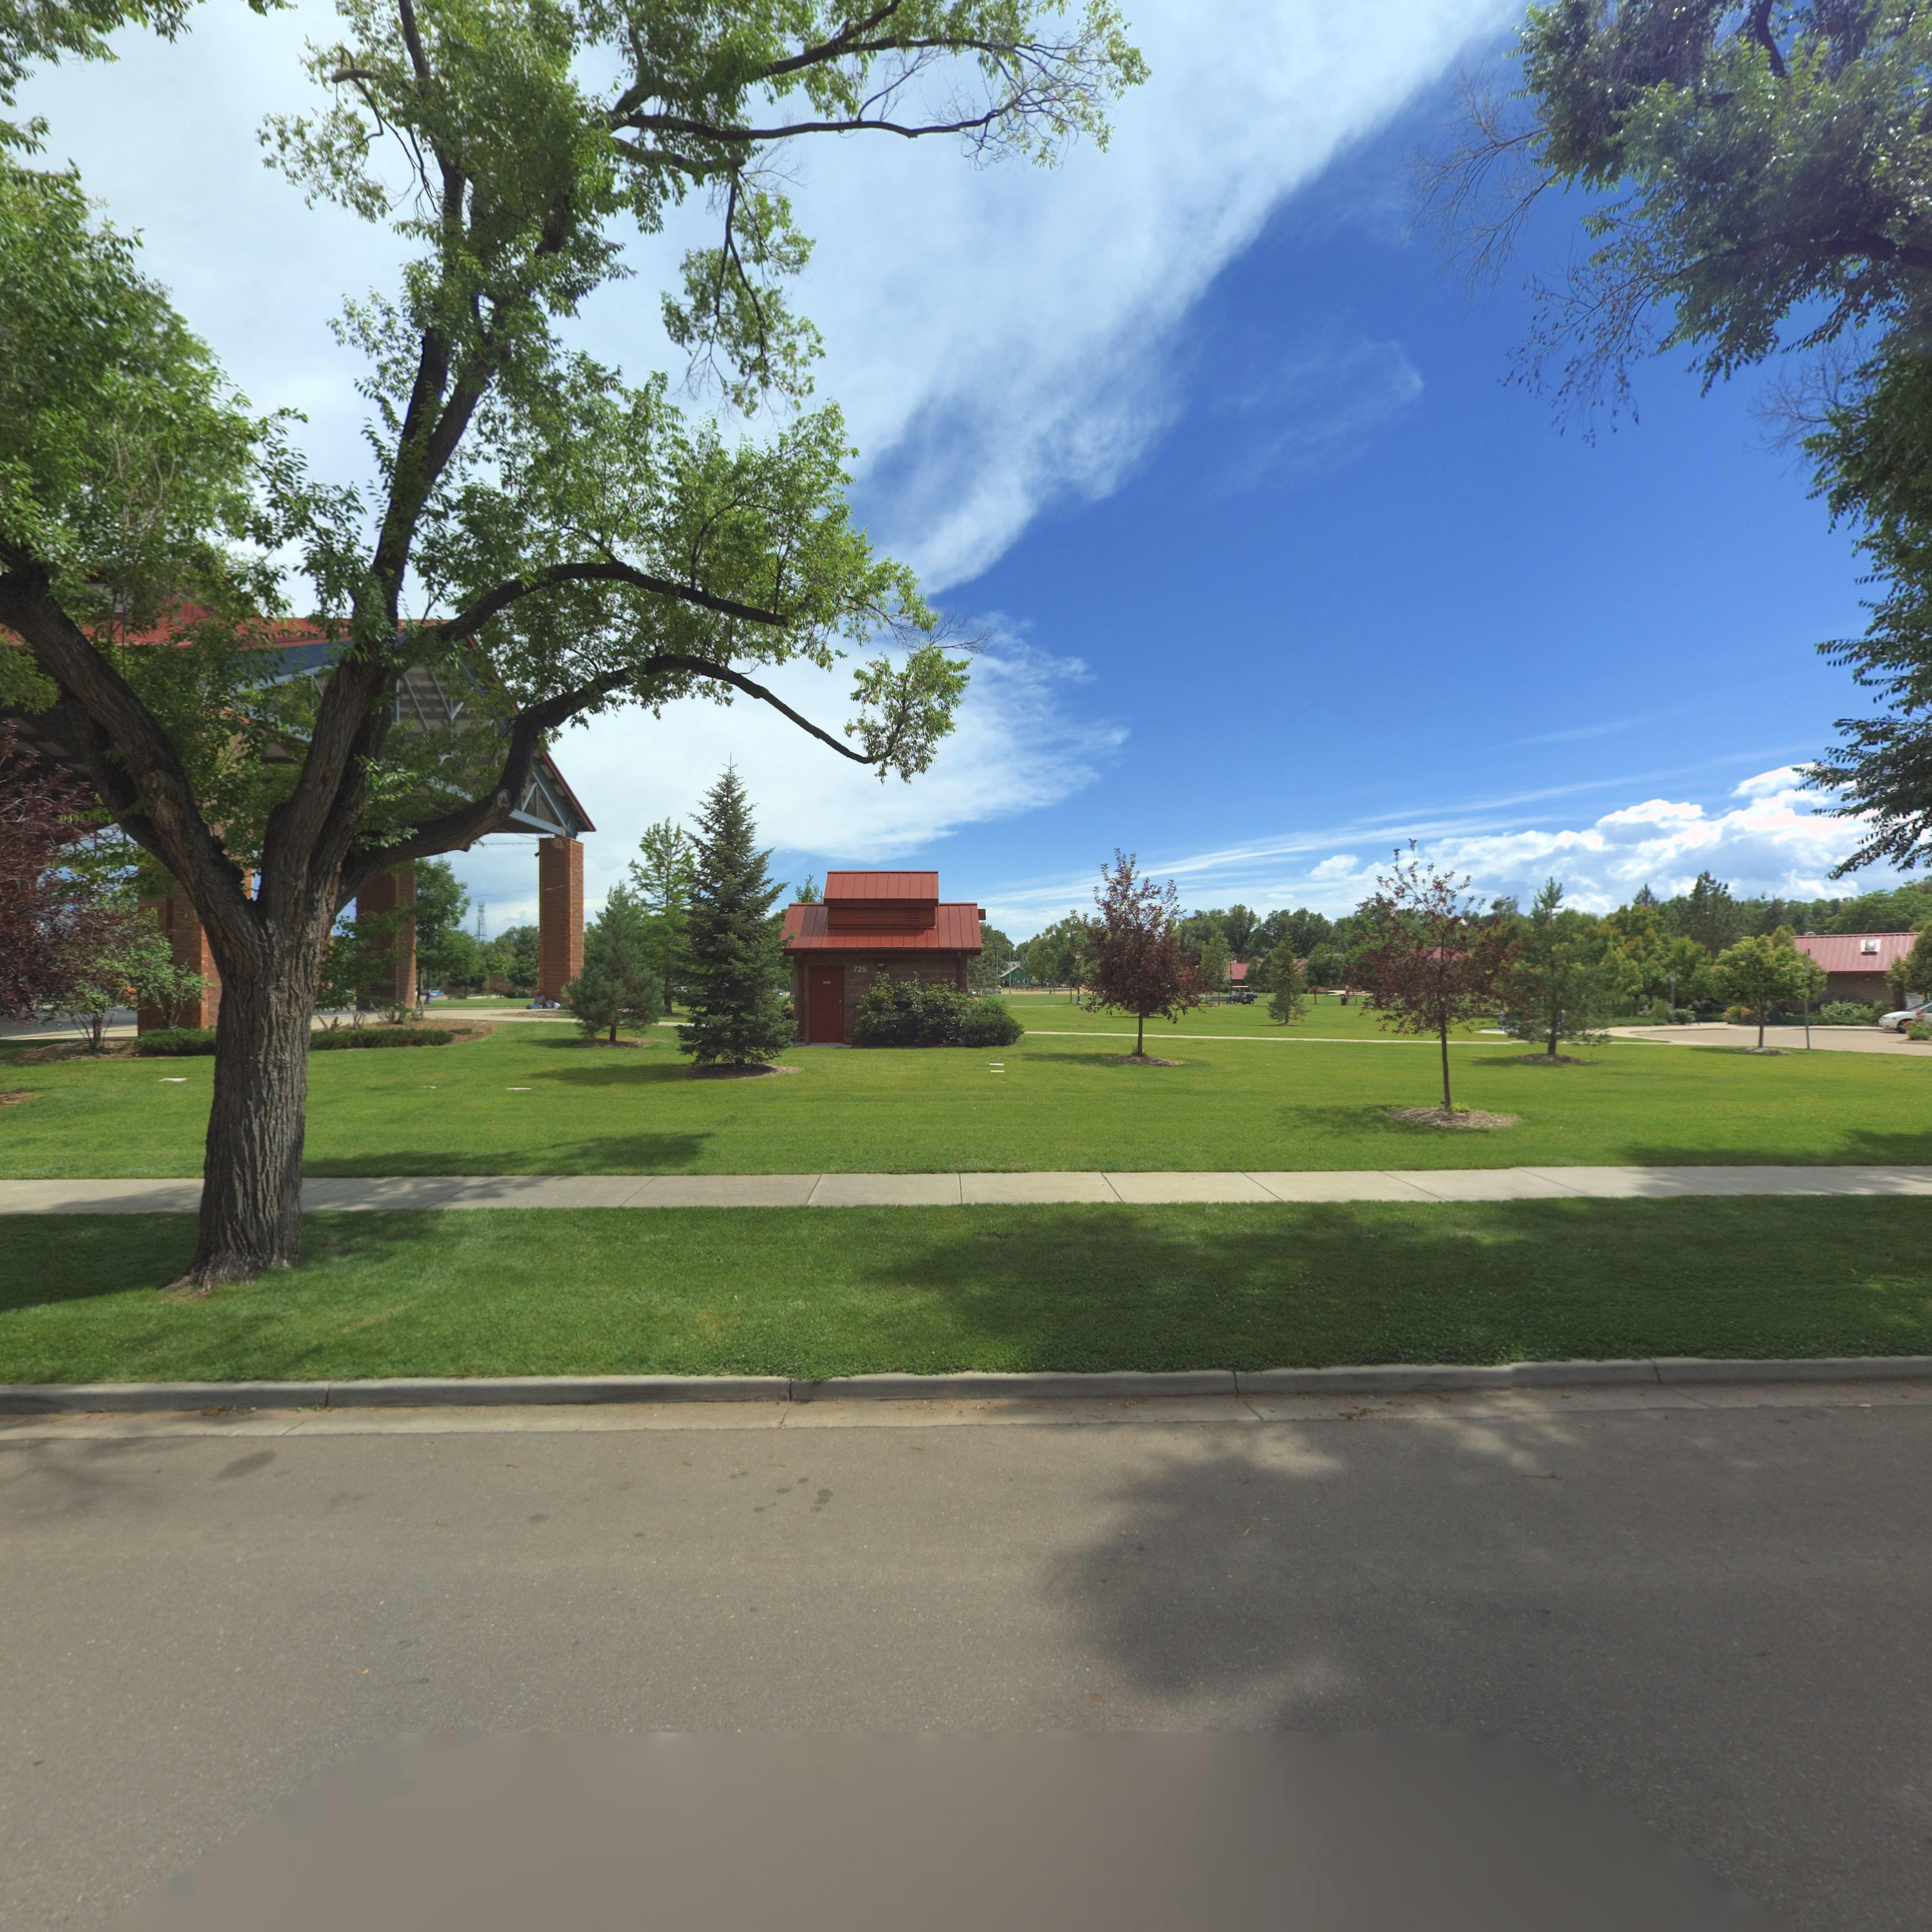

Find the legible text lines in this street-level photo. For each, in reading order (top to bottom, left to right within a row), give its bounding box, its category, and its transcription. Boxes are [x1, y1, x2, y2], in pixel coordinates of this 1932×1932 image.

[853, 966, 866, 972] StreetNumber: 725